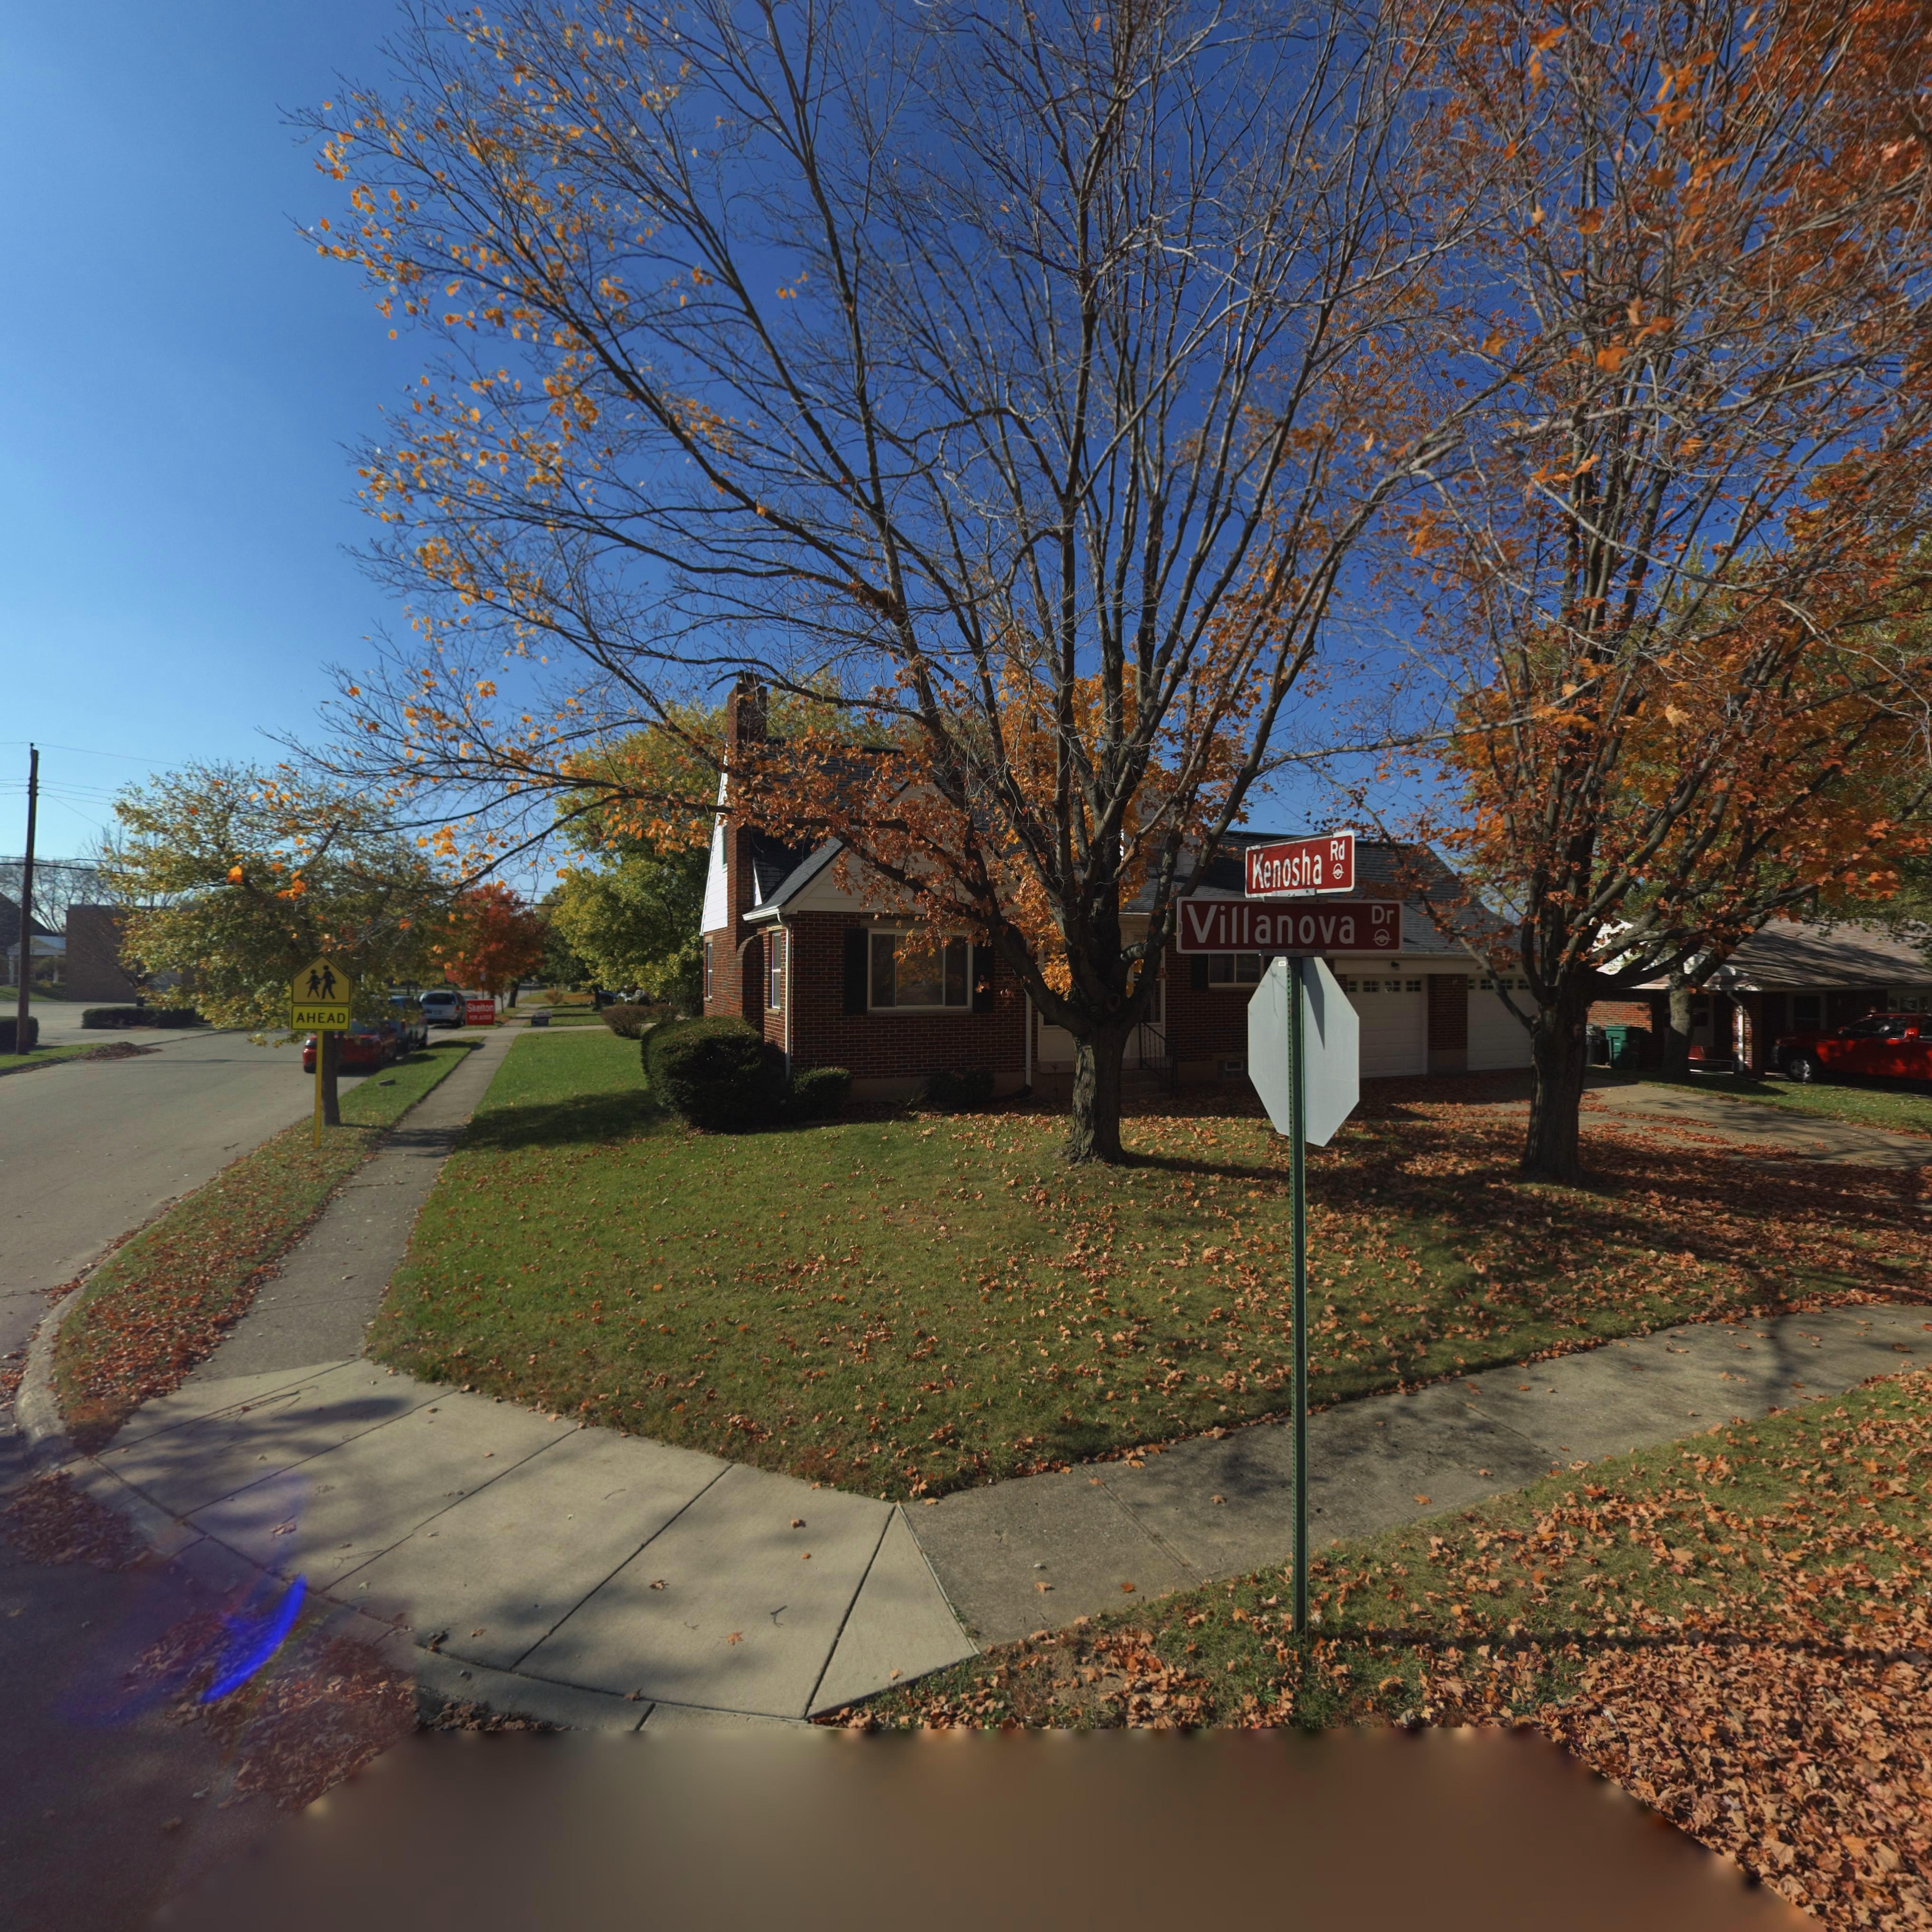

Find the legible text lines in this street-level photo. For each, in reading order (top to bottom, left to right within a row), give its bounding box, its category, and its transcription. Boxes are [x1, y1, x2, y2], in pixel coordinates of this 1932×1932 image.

[1252, 839, 1346, 890] StreetName: Kenosha Rd
[1185, 904, 1395, 945] StreetName: Villanova Dr
[467, 1003, 494, 1013] None: Shelton
[295, 1012, 346, 1024] None: AHEAD
[469, 1014, 492, 1021] None: FOR JUDGE